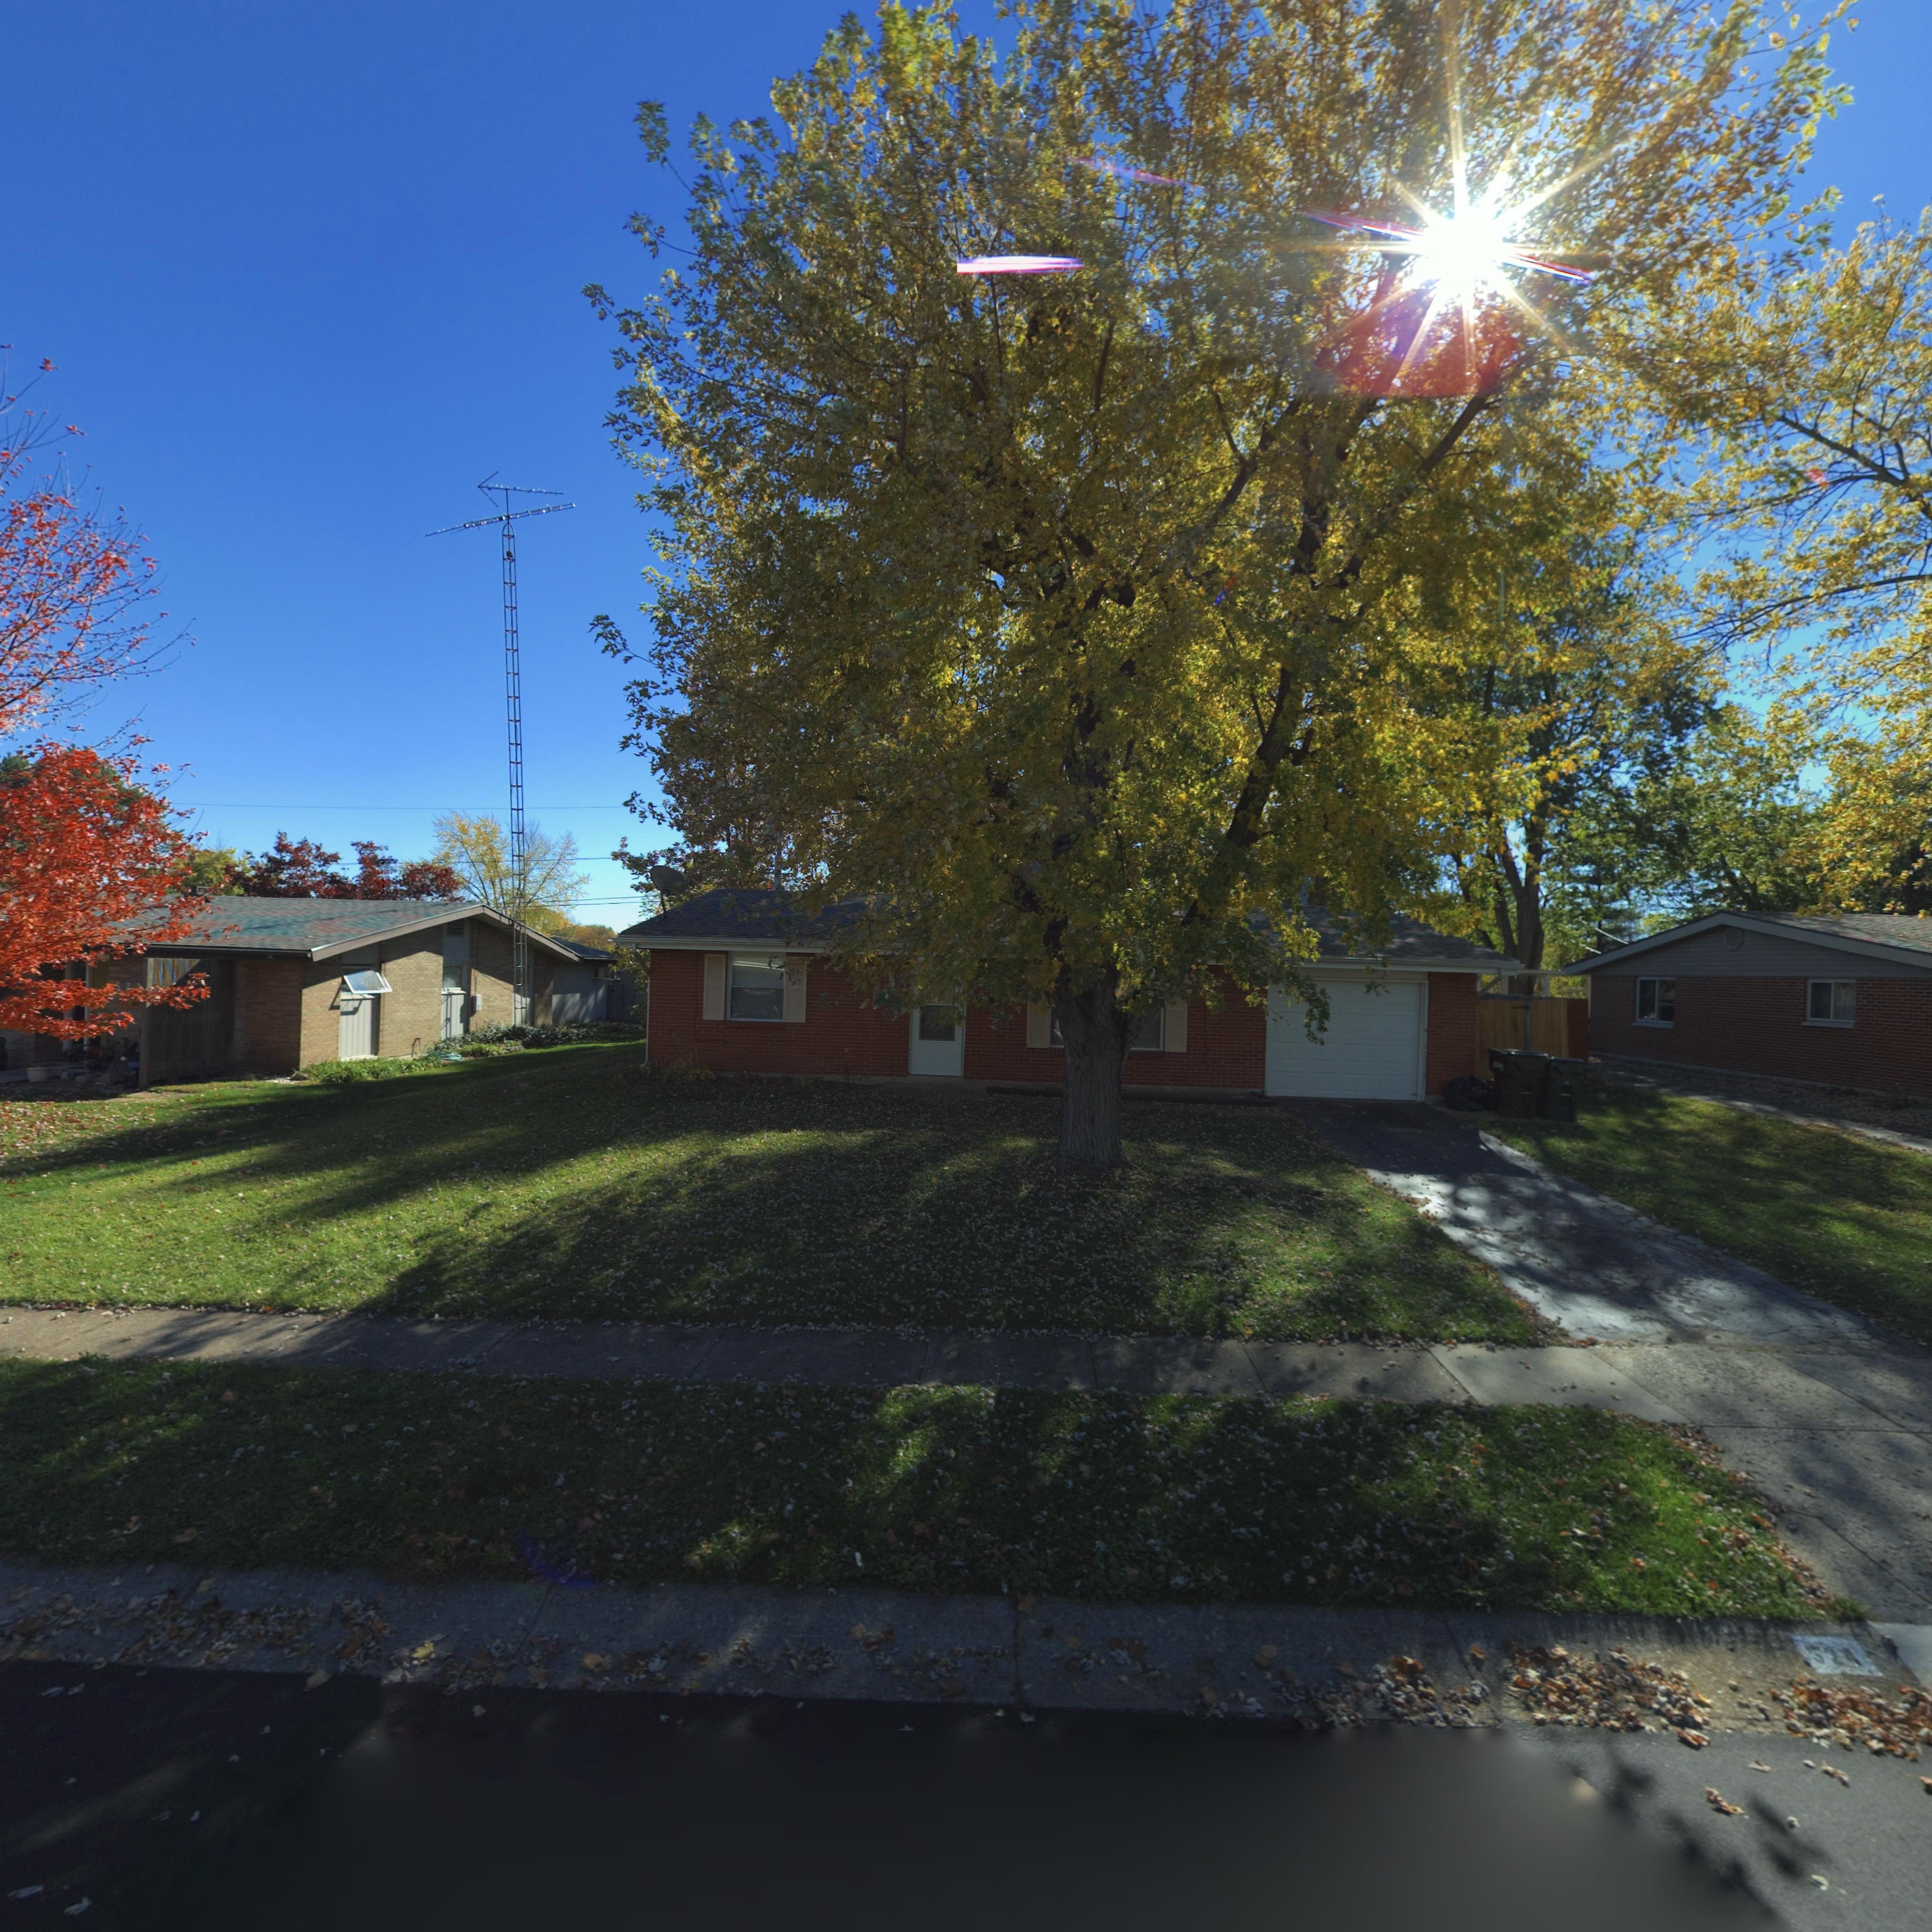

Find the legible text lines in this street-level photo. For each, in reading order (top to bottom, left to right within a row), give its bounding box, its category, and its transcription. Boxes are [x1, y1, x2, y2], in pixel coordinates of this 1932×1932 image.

[1800, 1642, 1865, 1668] StreetNumber: 524